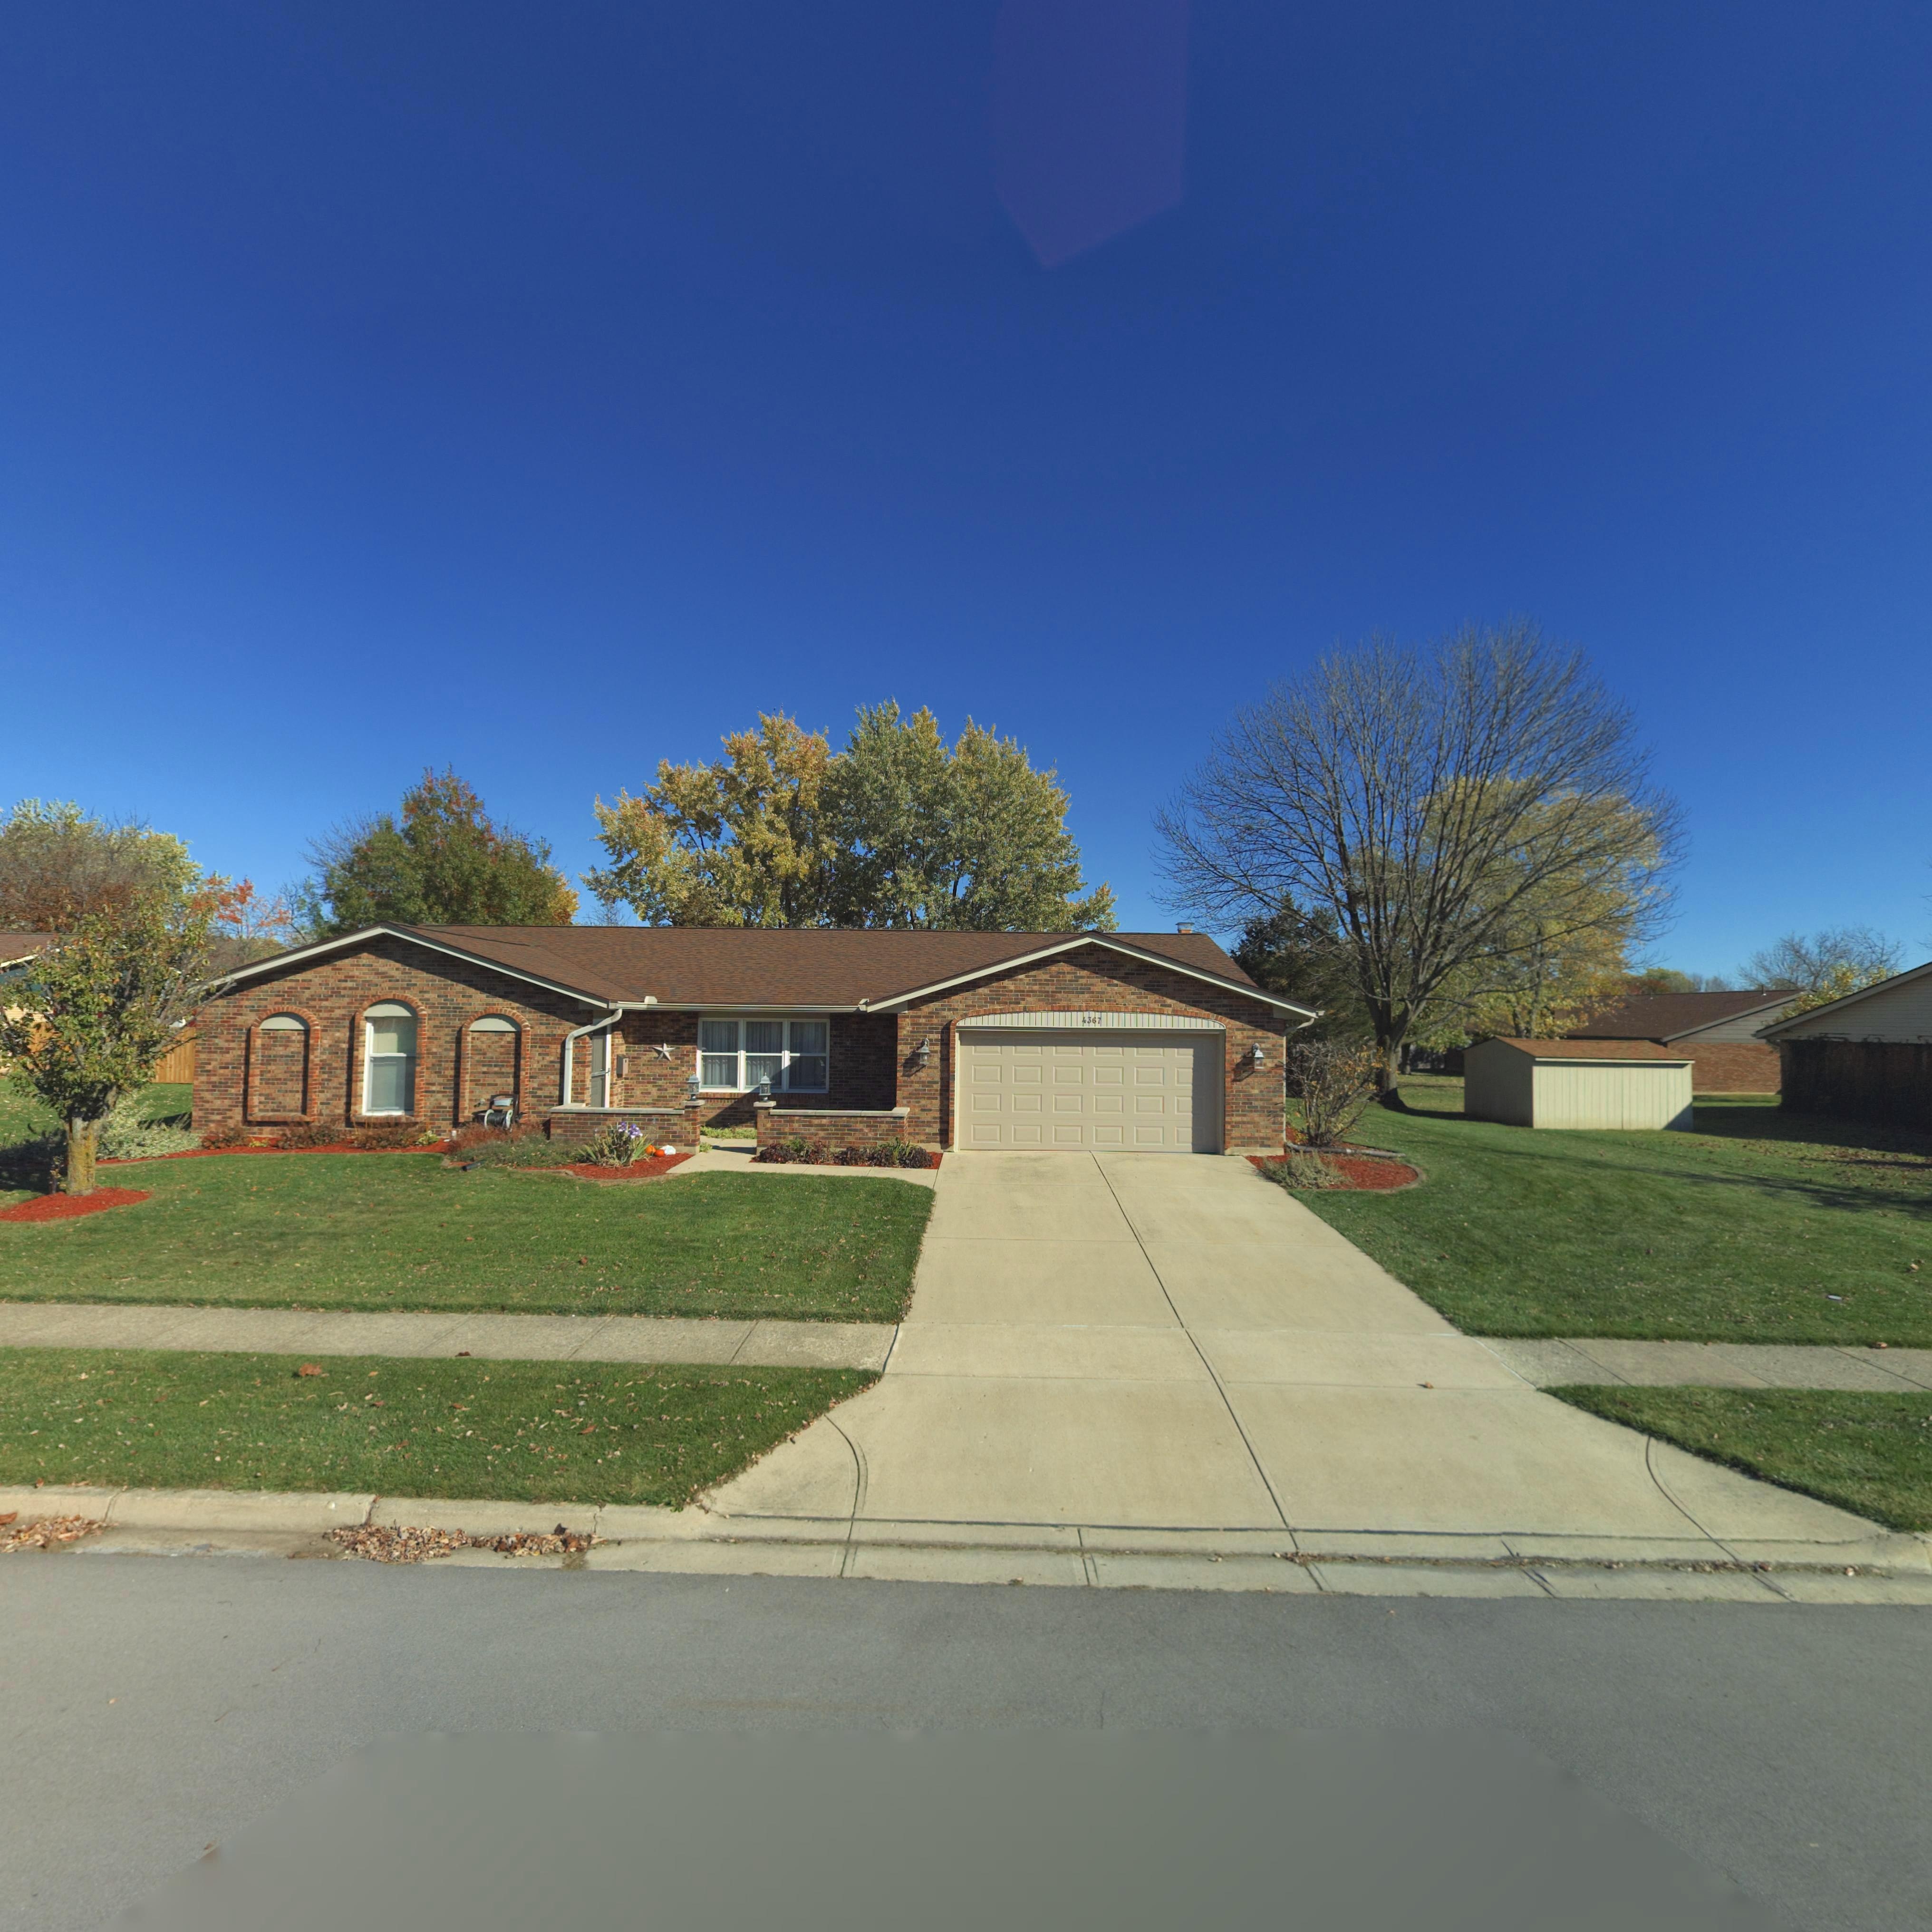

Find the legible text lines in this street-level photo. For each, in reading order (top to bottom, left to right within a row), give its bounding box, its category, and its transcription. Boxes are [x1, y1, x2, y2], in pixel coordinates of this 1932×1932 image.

[1082, 1016, 1102, 1024] StreetNumber: 4367